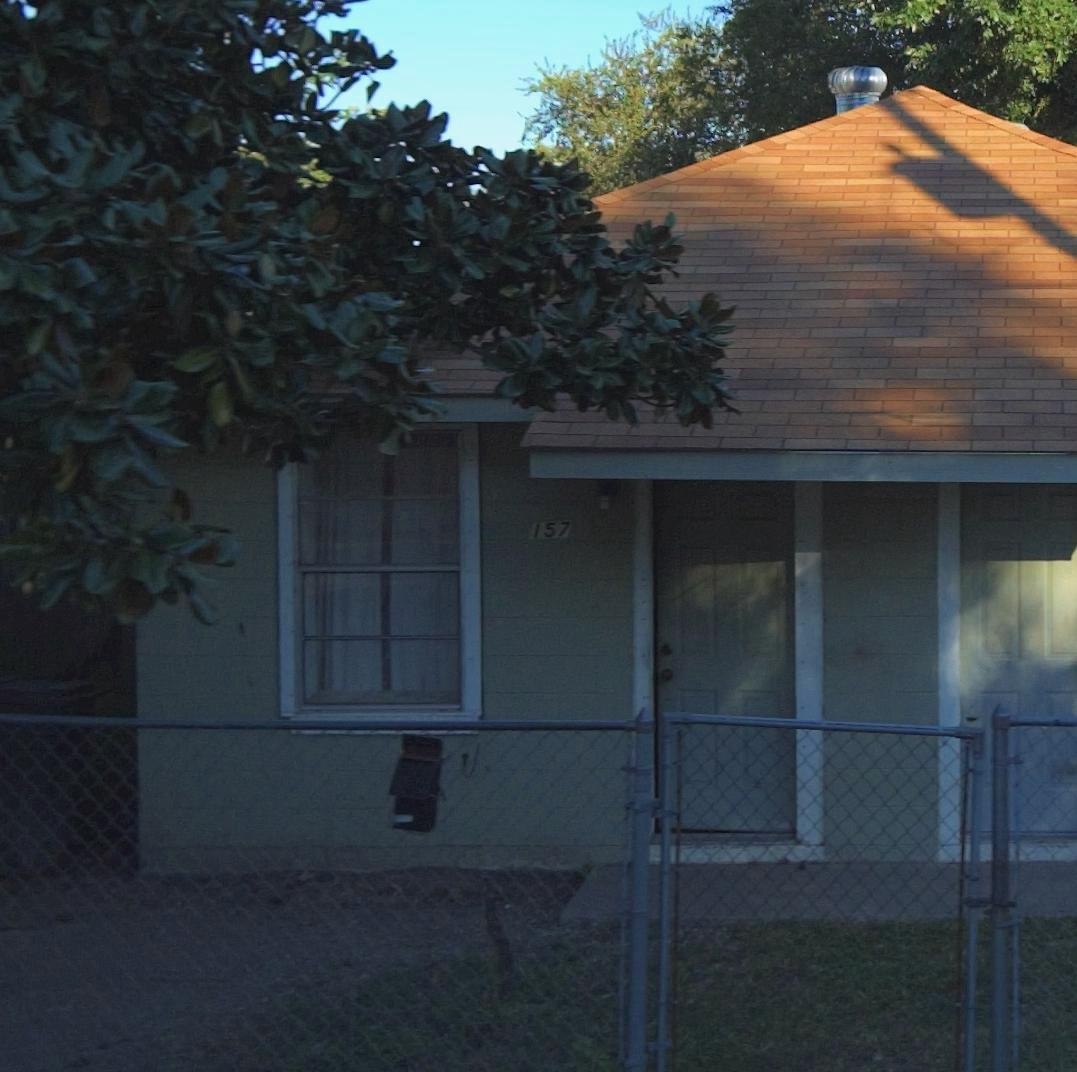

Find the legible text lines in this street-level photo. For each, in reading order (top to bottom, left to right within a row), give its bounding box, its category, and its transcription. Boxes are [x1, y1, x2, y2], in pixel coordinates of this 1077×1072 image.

[530, 519, 577, 541] StreetNumber: 157